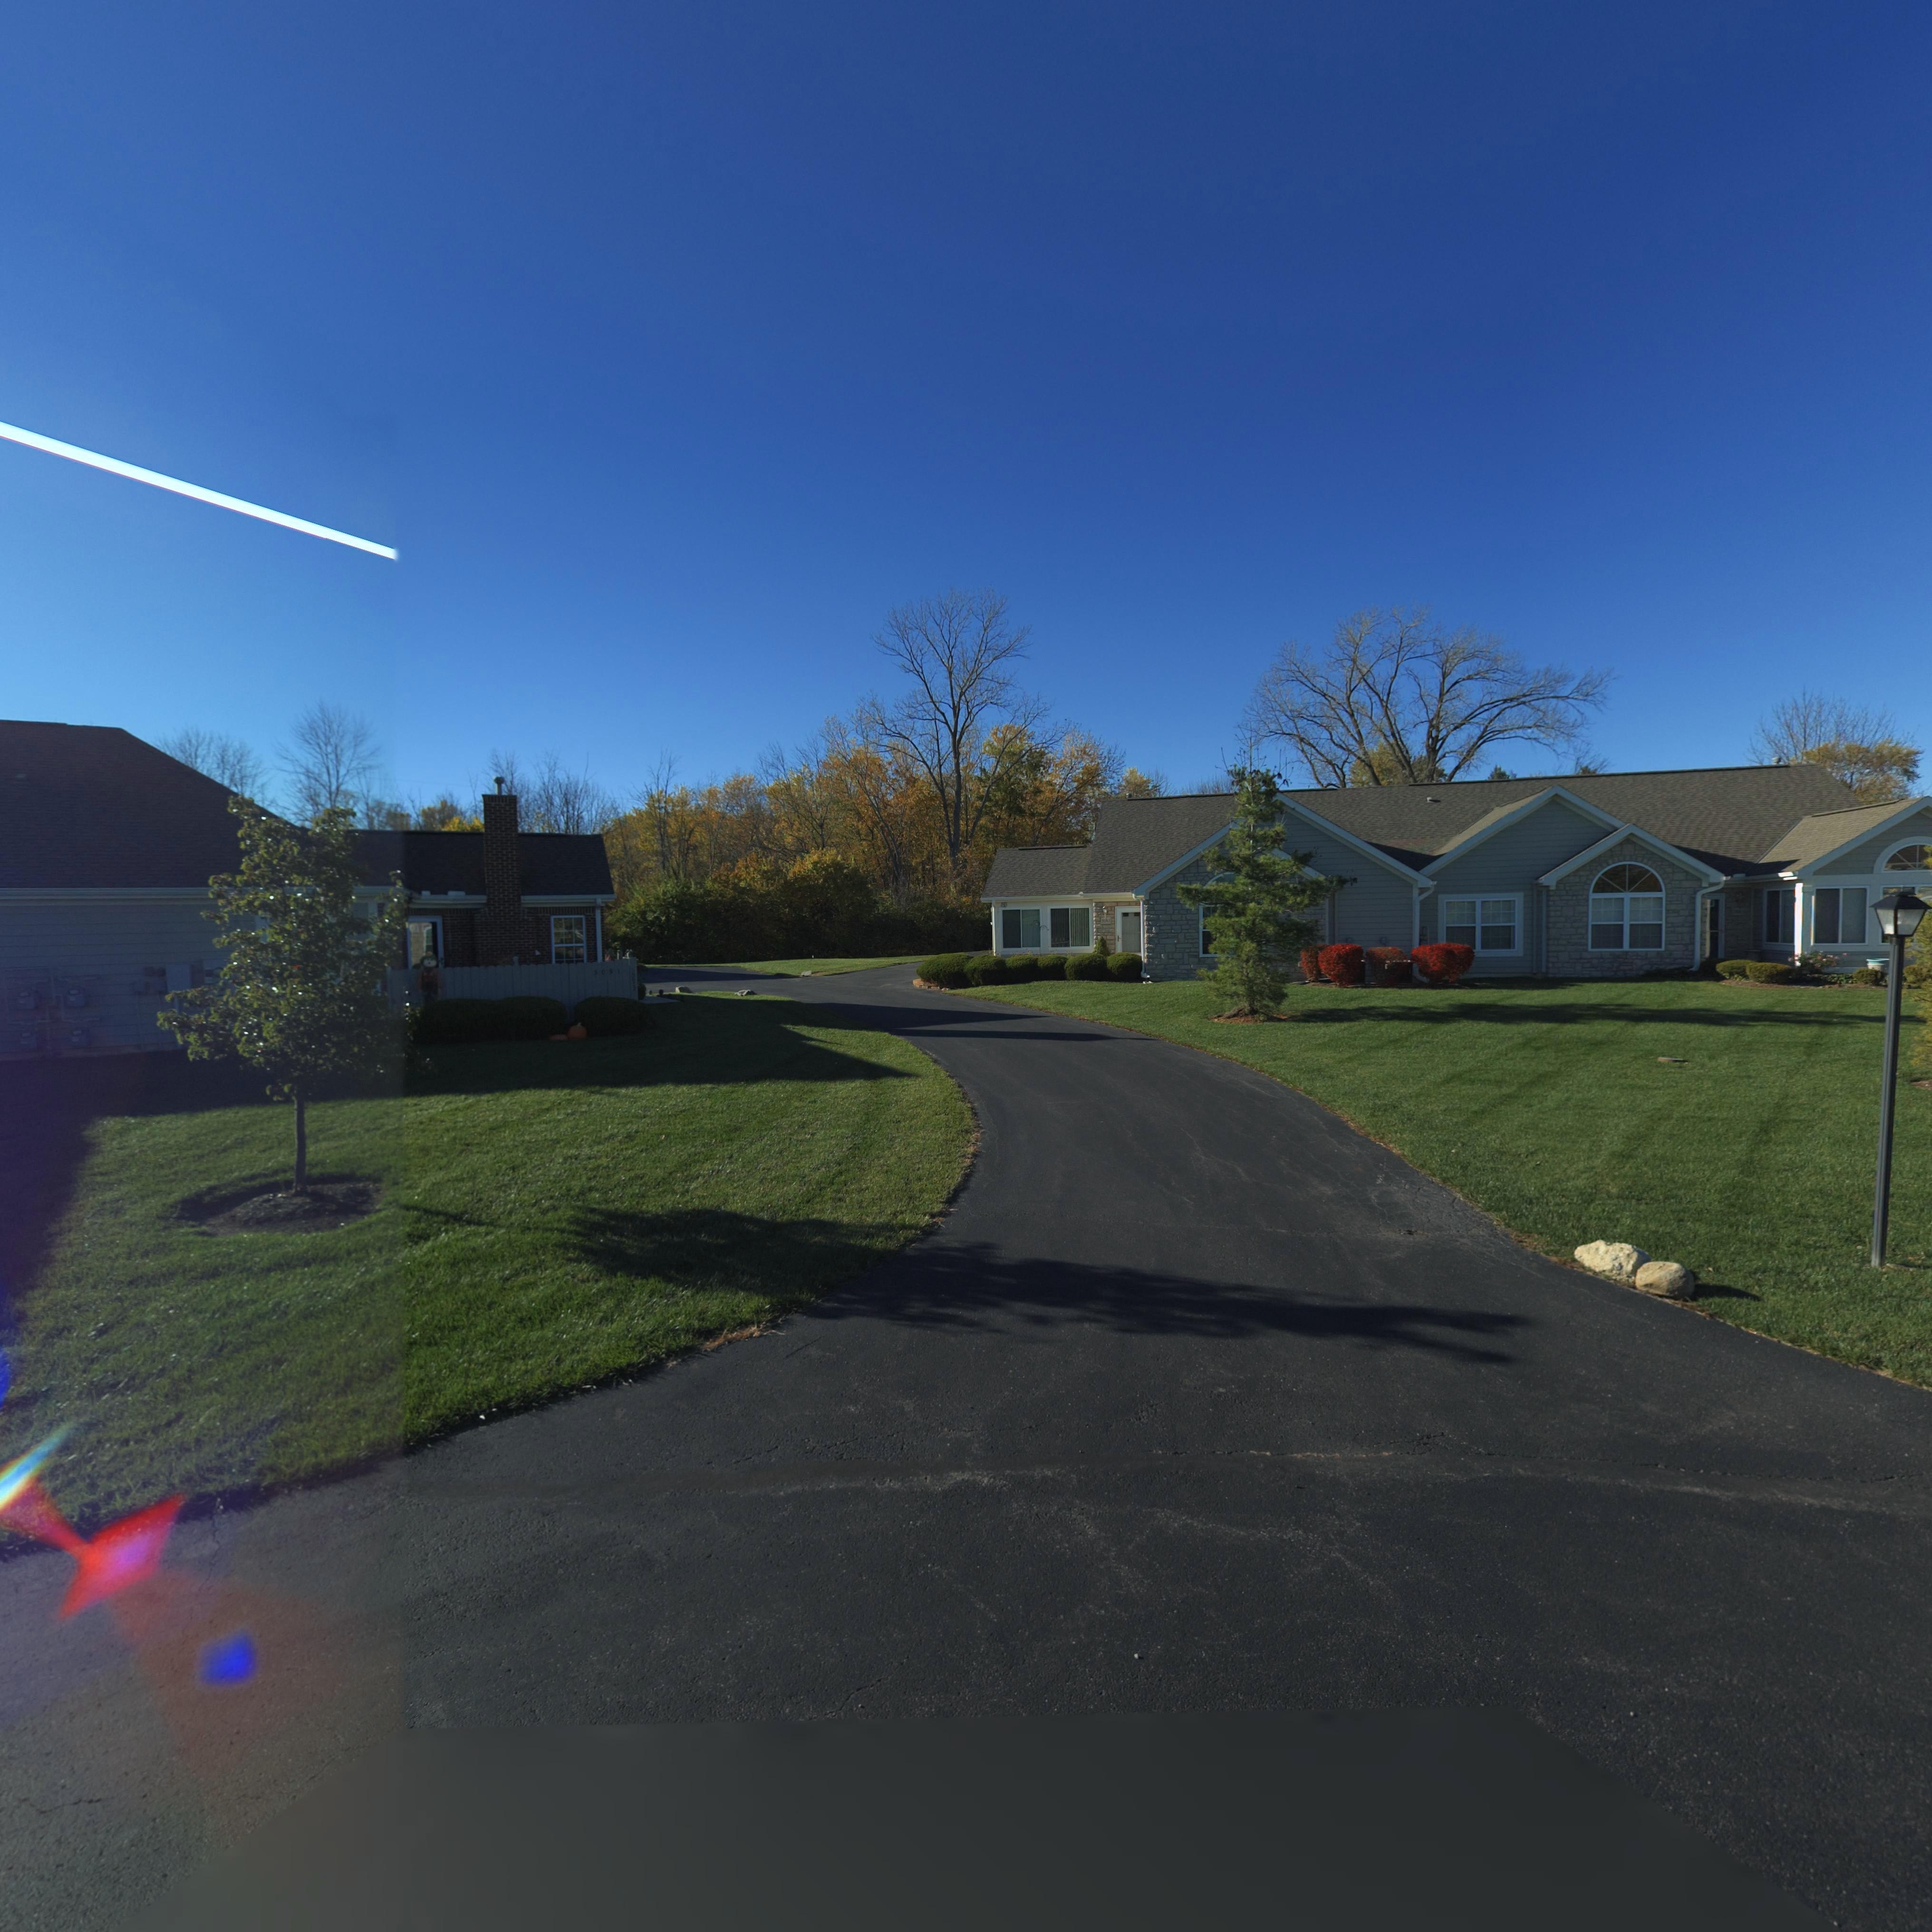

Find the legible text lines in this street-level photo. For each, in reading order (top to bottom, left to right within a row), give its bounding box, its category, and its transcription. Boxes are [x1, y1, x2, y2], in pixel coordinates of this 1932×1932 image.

[592, 967, 621, 976] StreetNumber: *09*
[630, 966, 637, 993] StreetNumber: *093